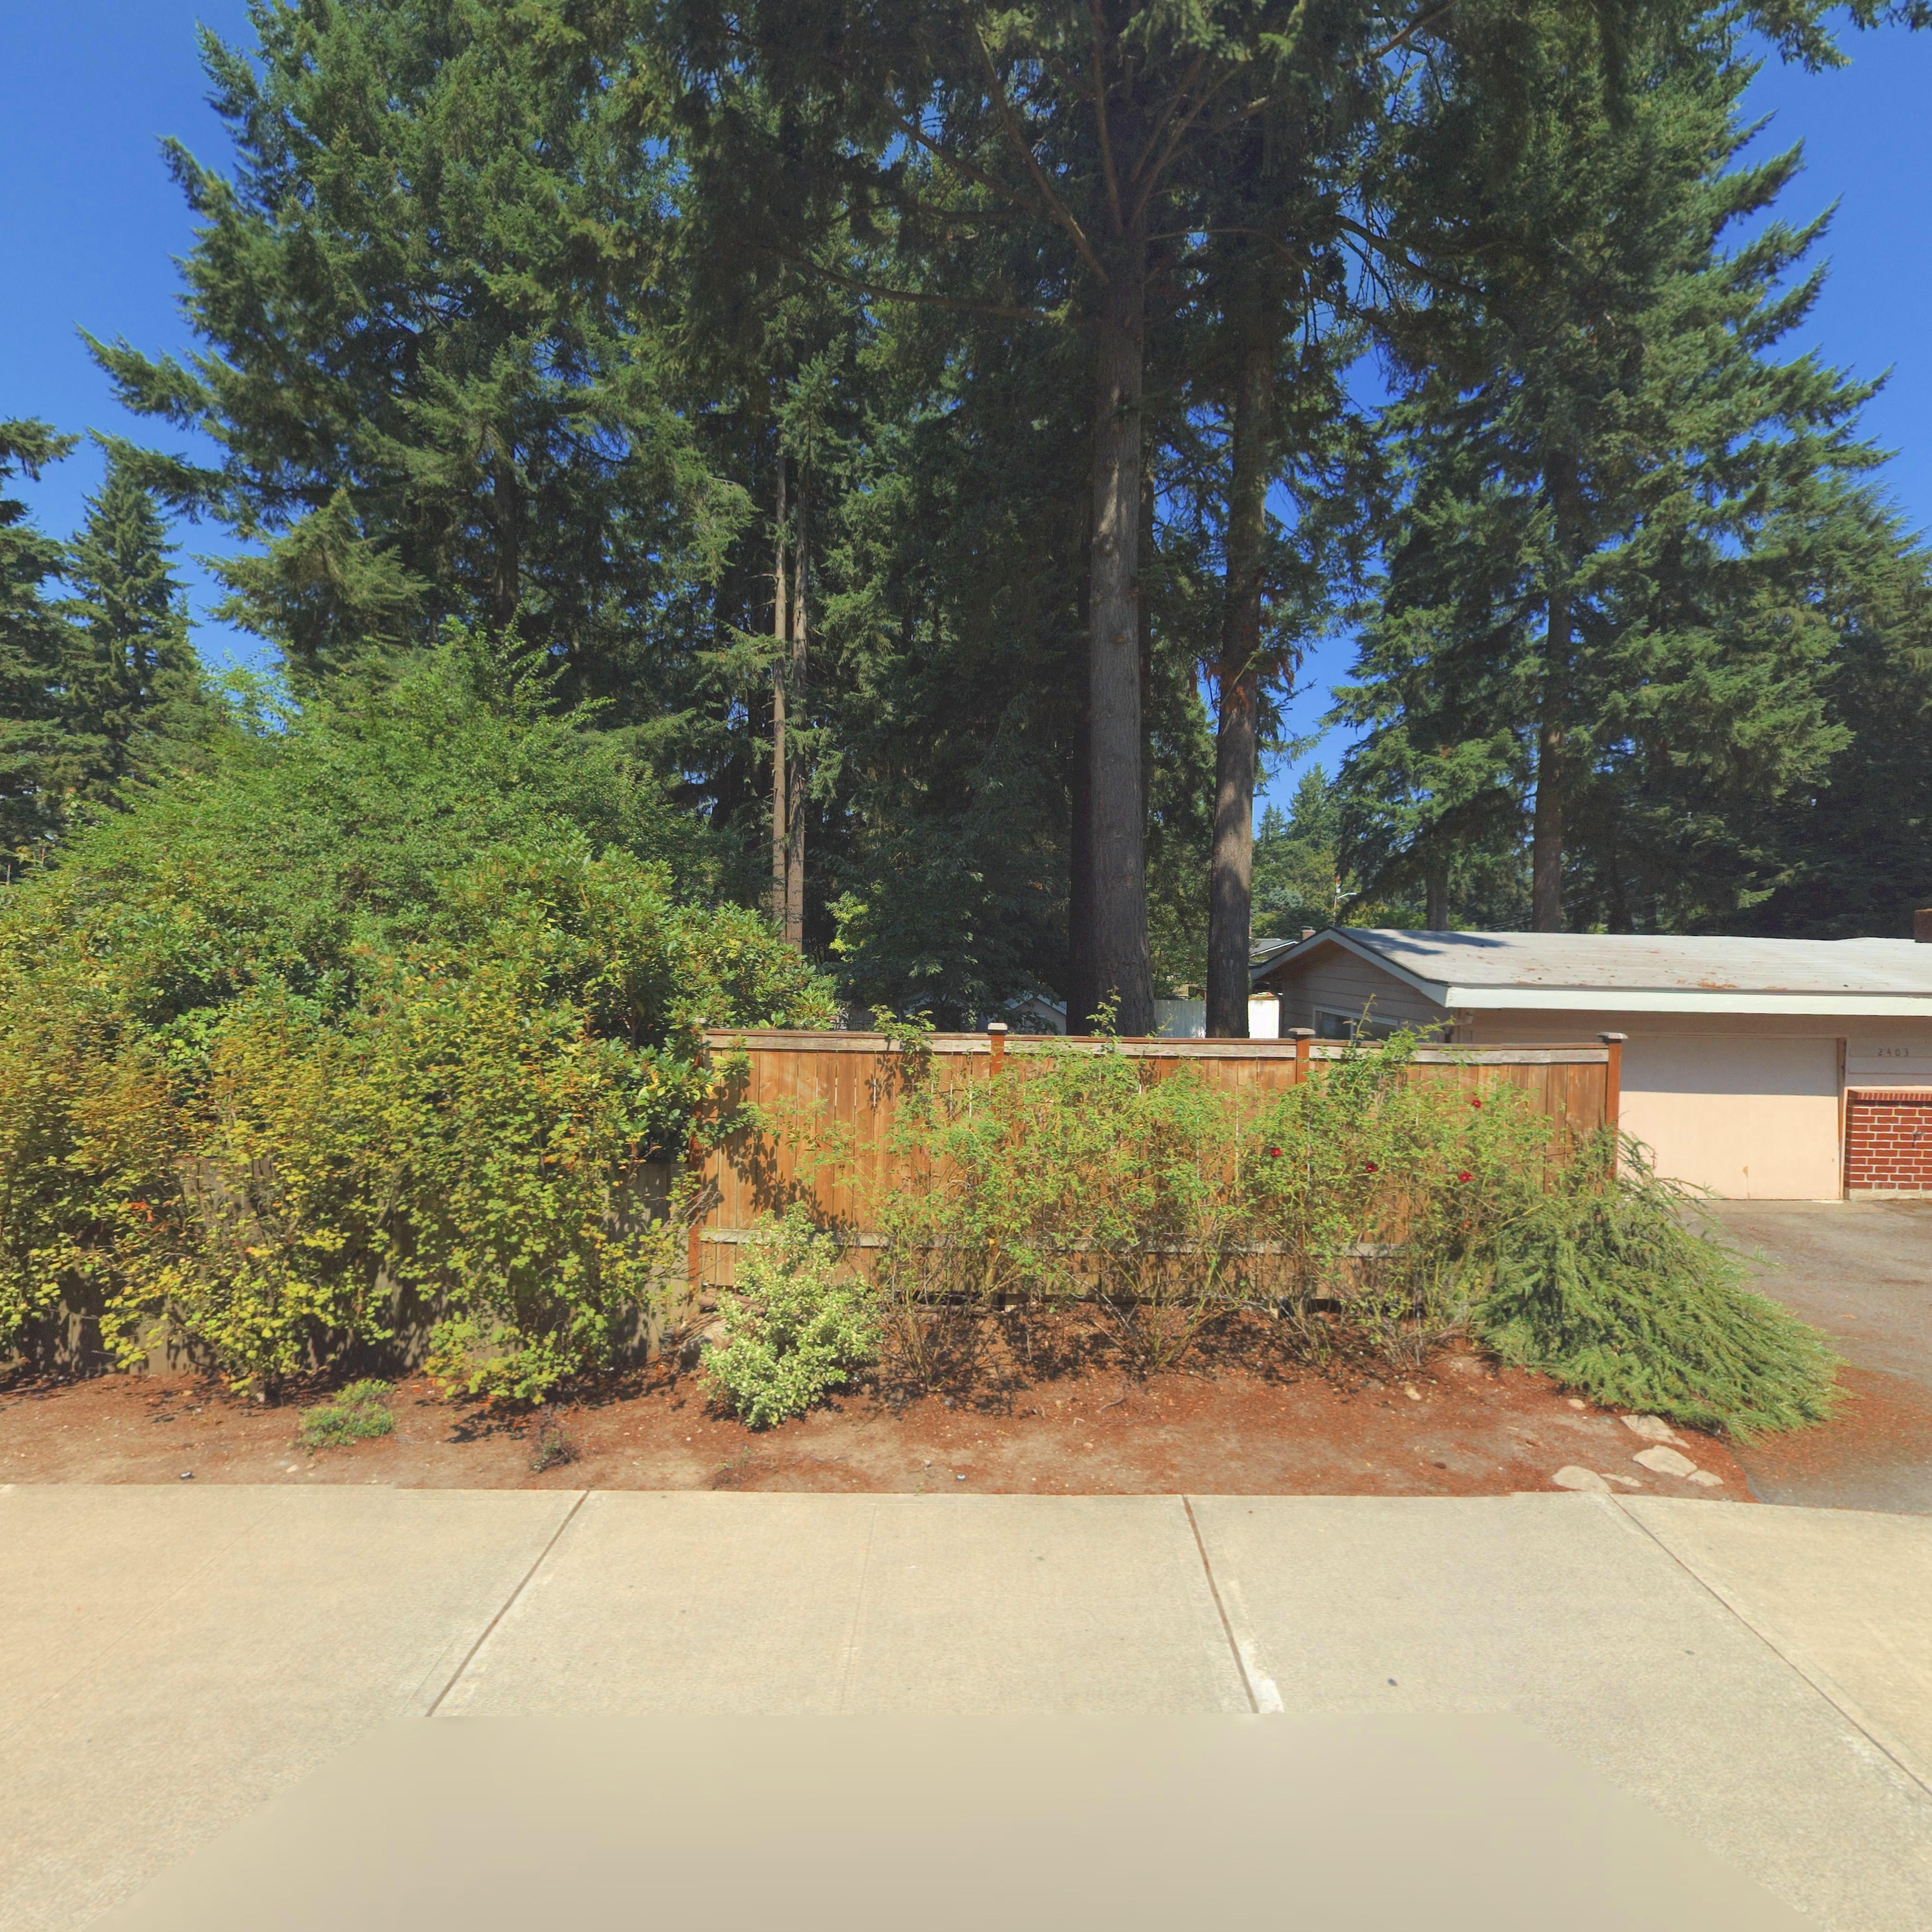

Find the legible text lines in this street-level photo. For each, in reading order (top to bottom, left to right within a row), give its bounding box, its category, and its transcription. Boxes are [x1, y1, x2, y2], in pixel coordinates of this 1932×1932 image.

[1878, 1048, 1909, 1057] StreetNumber: 2403